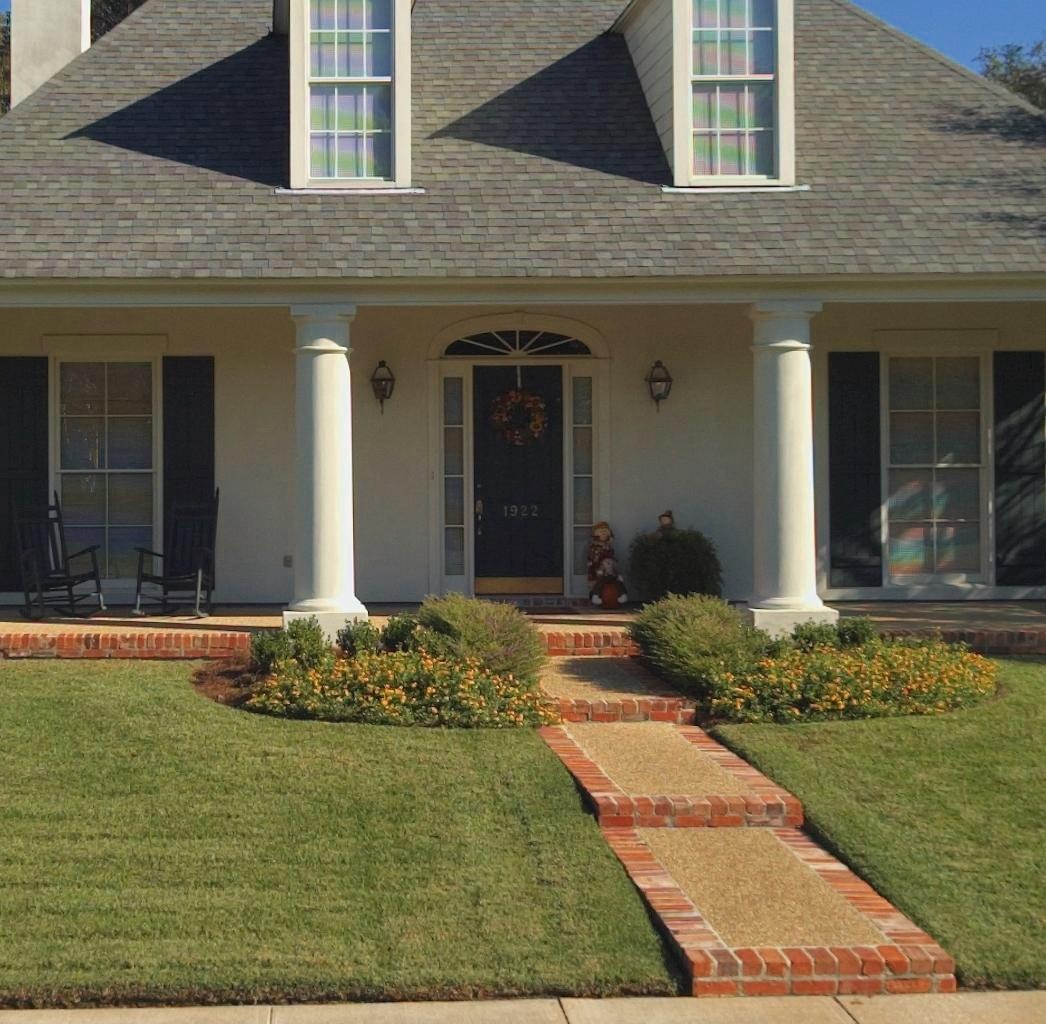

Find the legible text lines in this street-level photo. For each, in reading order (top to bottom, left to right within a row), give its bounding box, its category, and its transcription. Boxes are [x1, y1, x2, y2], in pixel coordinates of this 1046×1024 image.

[501, 502, 541, 519] StreetNumber: 1922